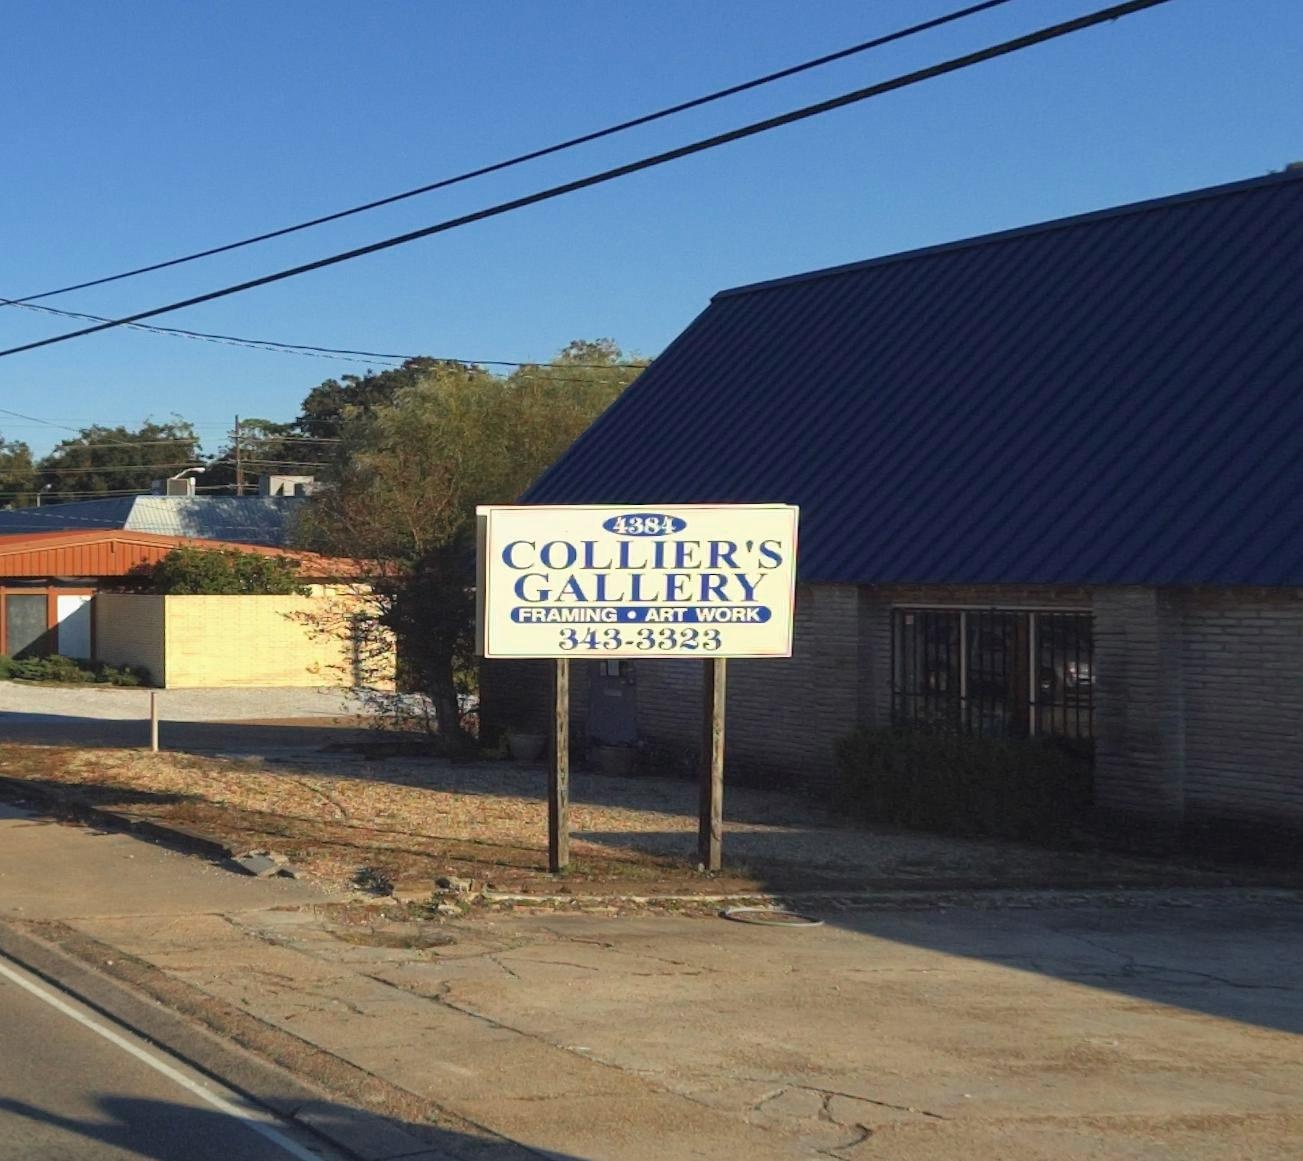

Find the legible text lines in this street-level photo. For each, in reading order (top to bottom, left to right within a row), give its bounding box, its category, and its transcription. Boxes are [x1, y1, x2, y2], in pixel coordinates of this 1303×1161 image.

[612, 516, 678, 535] StreetNumber: 4384
[500, 539, 784, 570] BusinessName: COLLIER'S
[512, 572, 770, 603] BusinessName: GALLERY\
[517, 607, 762, 623] None: FRAMING - ART WORK
[557, 627, 723, 652] None: 343-3323